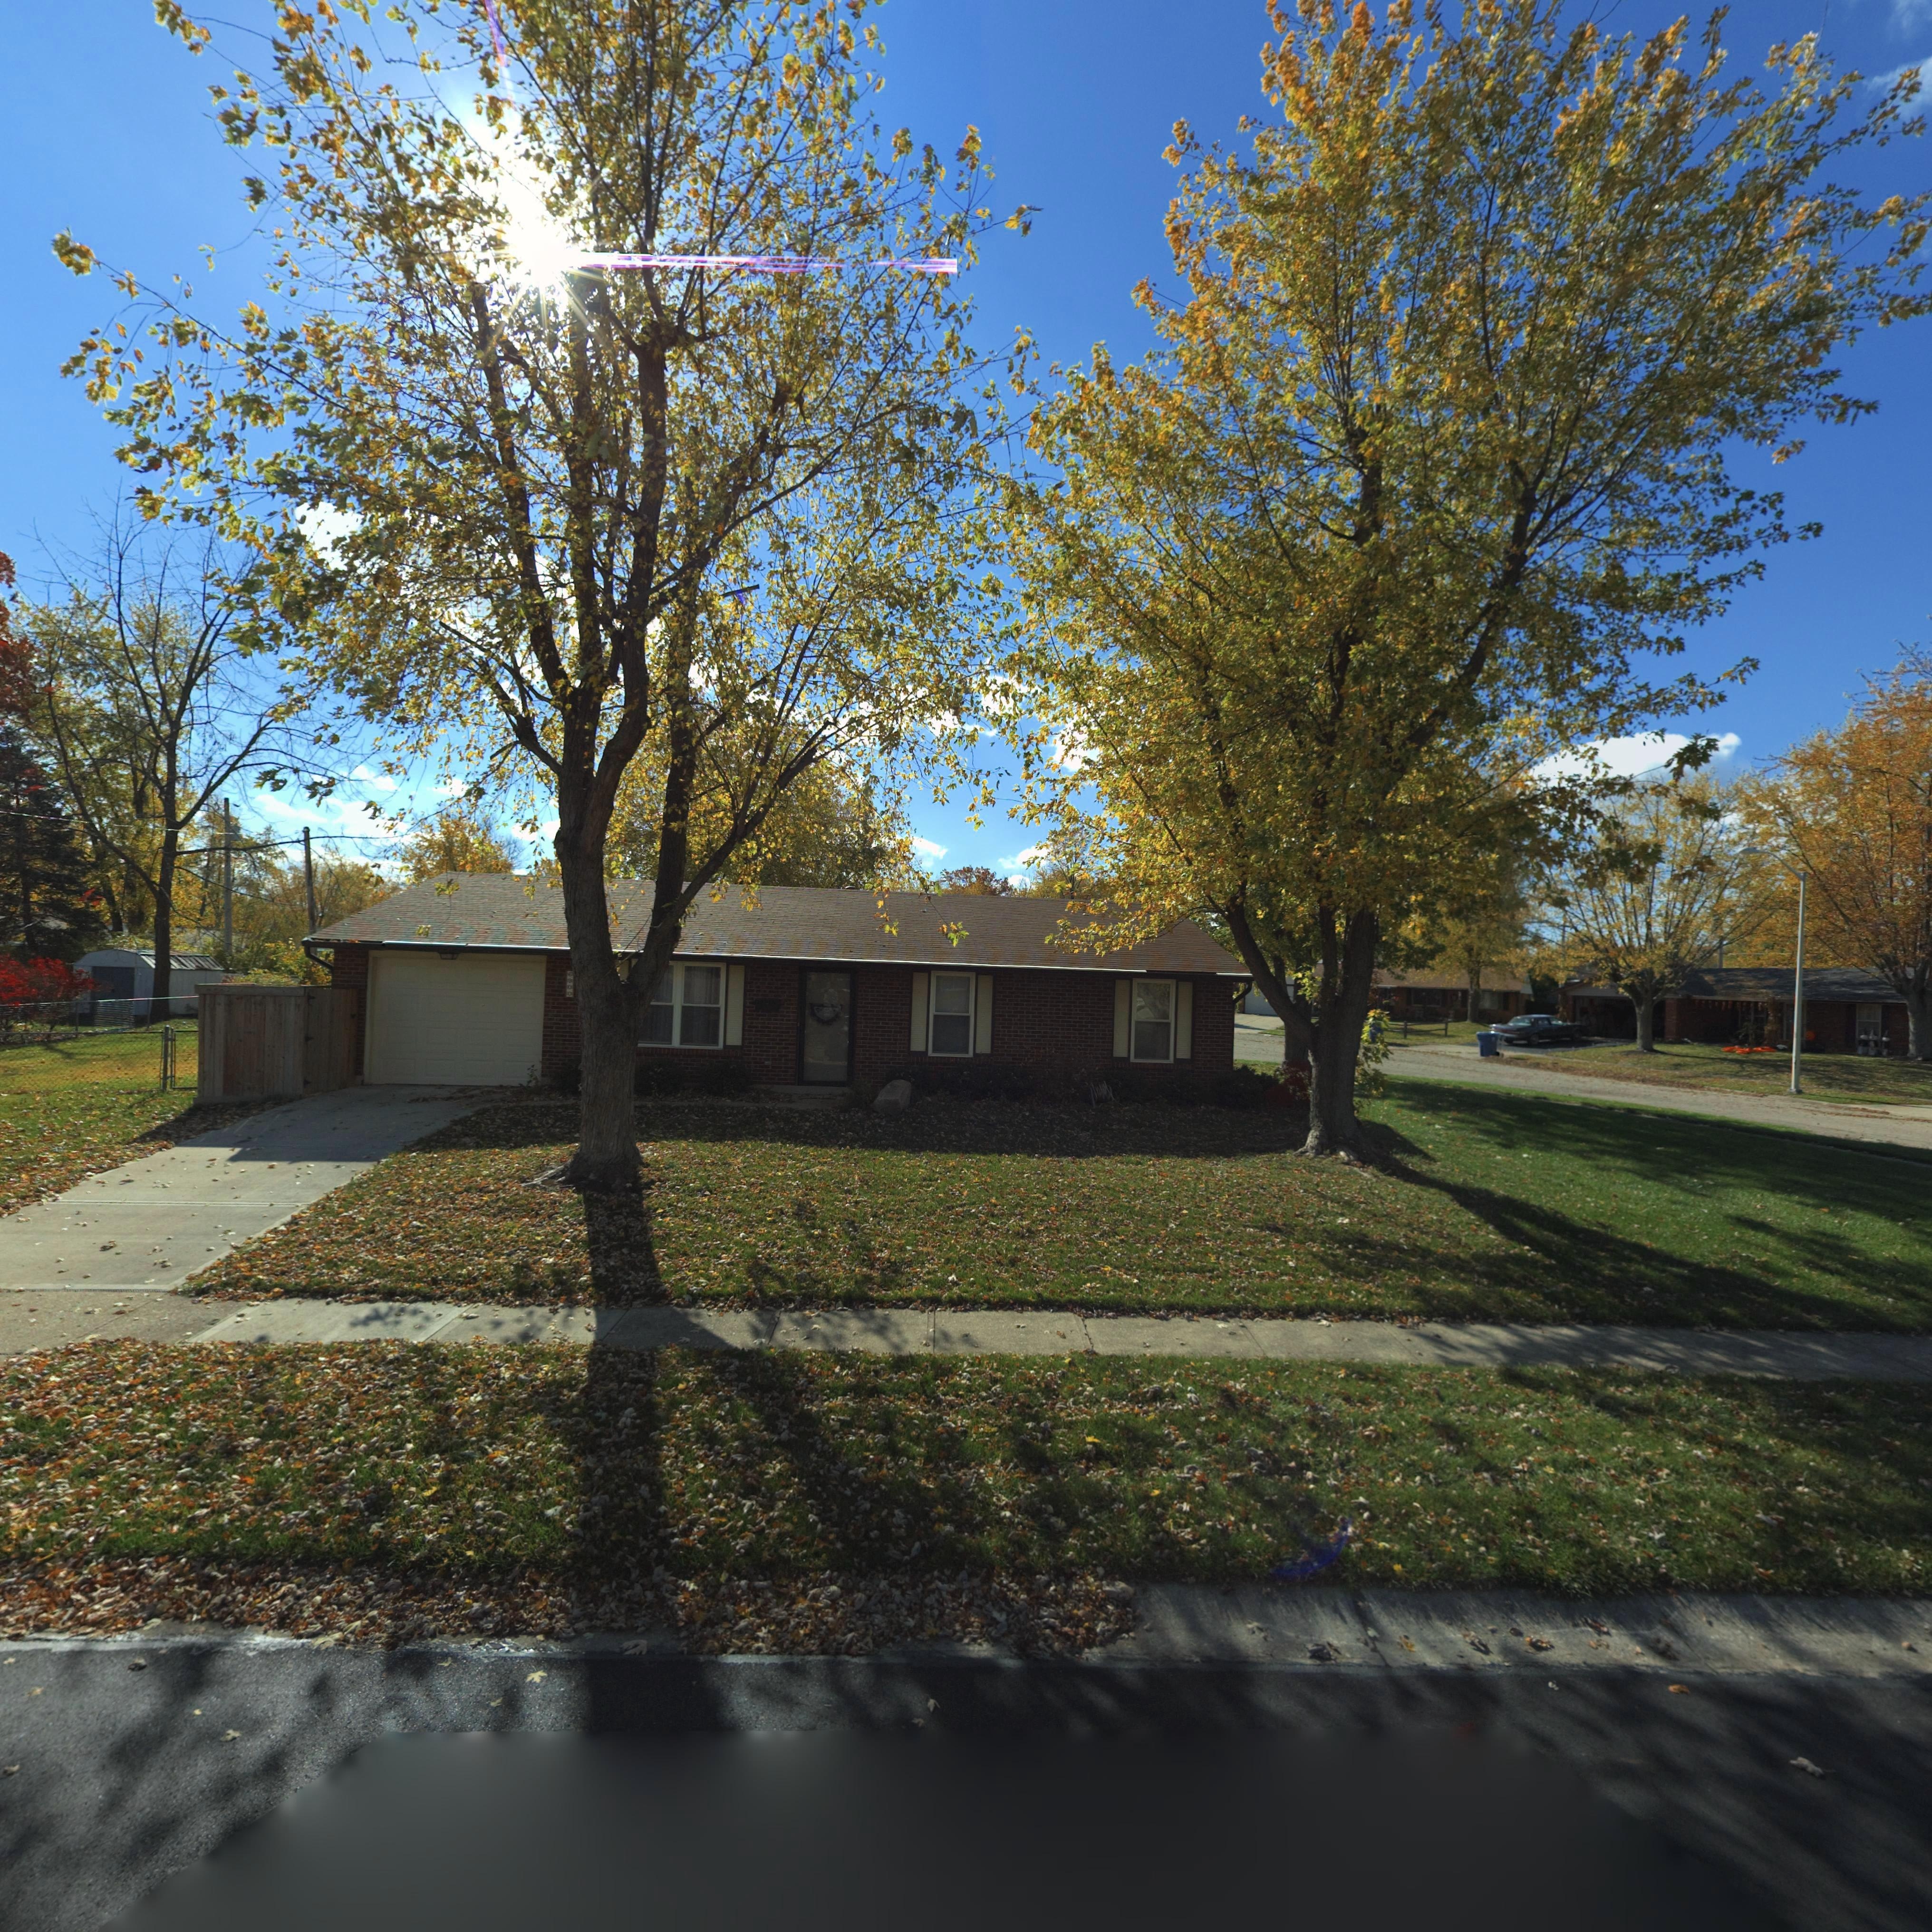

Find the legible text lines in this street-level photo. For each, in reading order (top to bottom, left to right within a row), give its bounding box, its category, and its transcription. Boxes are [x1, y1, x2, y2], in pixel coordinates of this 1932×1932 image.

[566, 971, 573, 997] StreetNumber: 6900